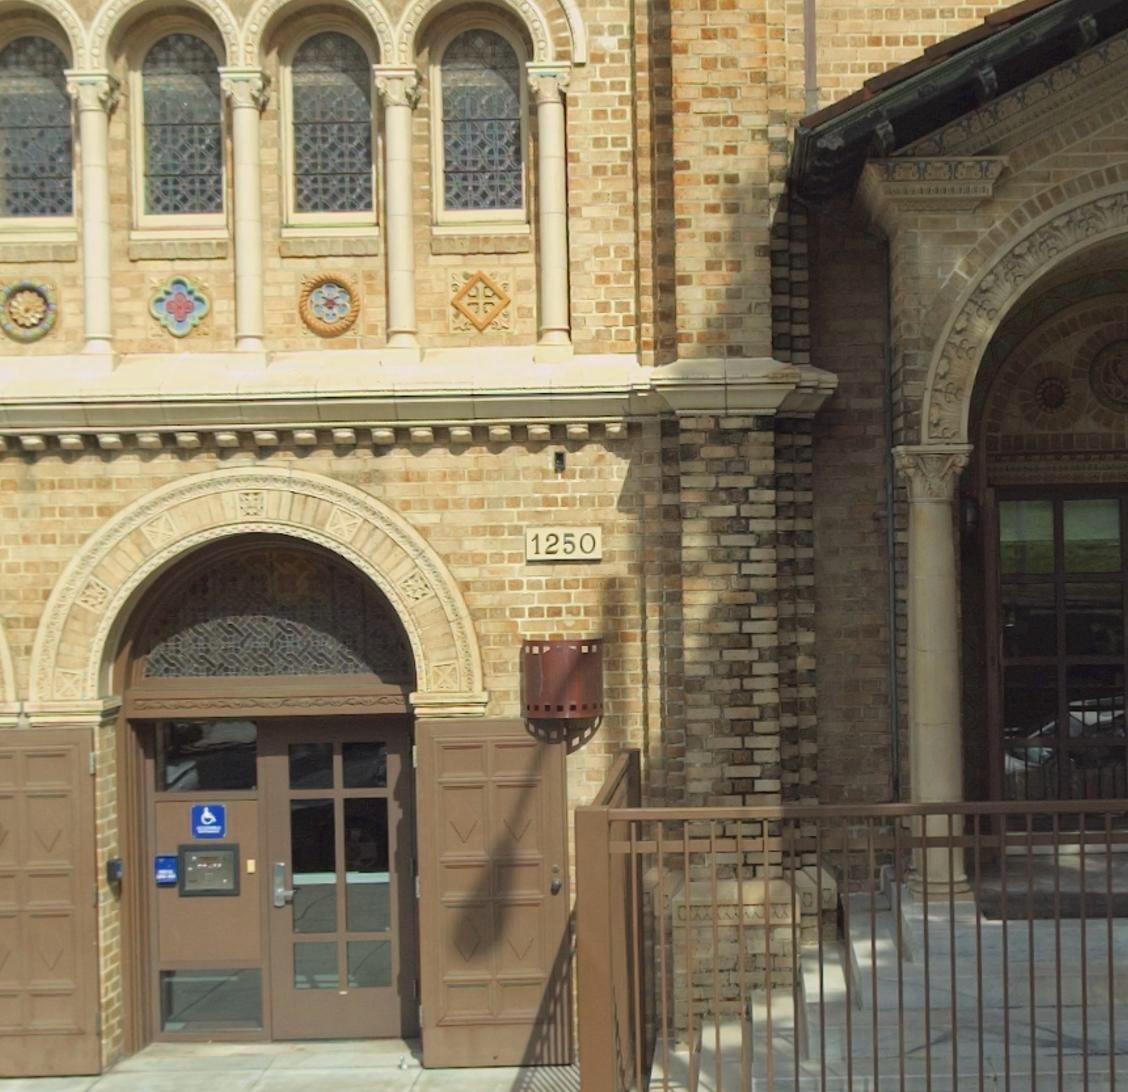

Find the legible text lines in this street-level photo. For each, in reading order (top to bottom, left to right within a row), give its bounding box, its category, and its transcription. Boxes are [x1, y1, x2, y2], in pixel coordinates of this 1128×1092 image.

[529, 530, 598, 557] StreetNumber: 1250